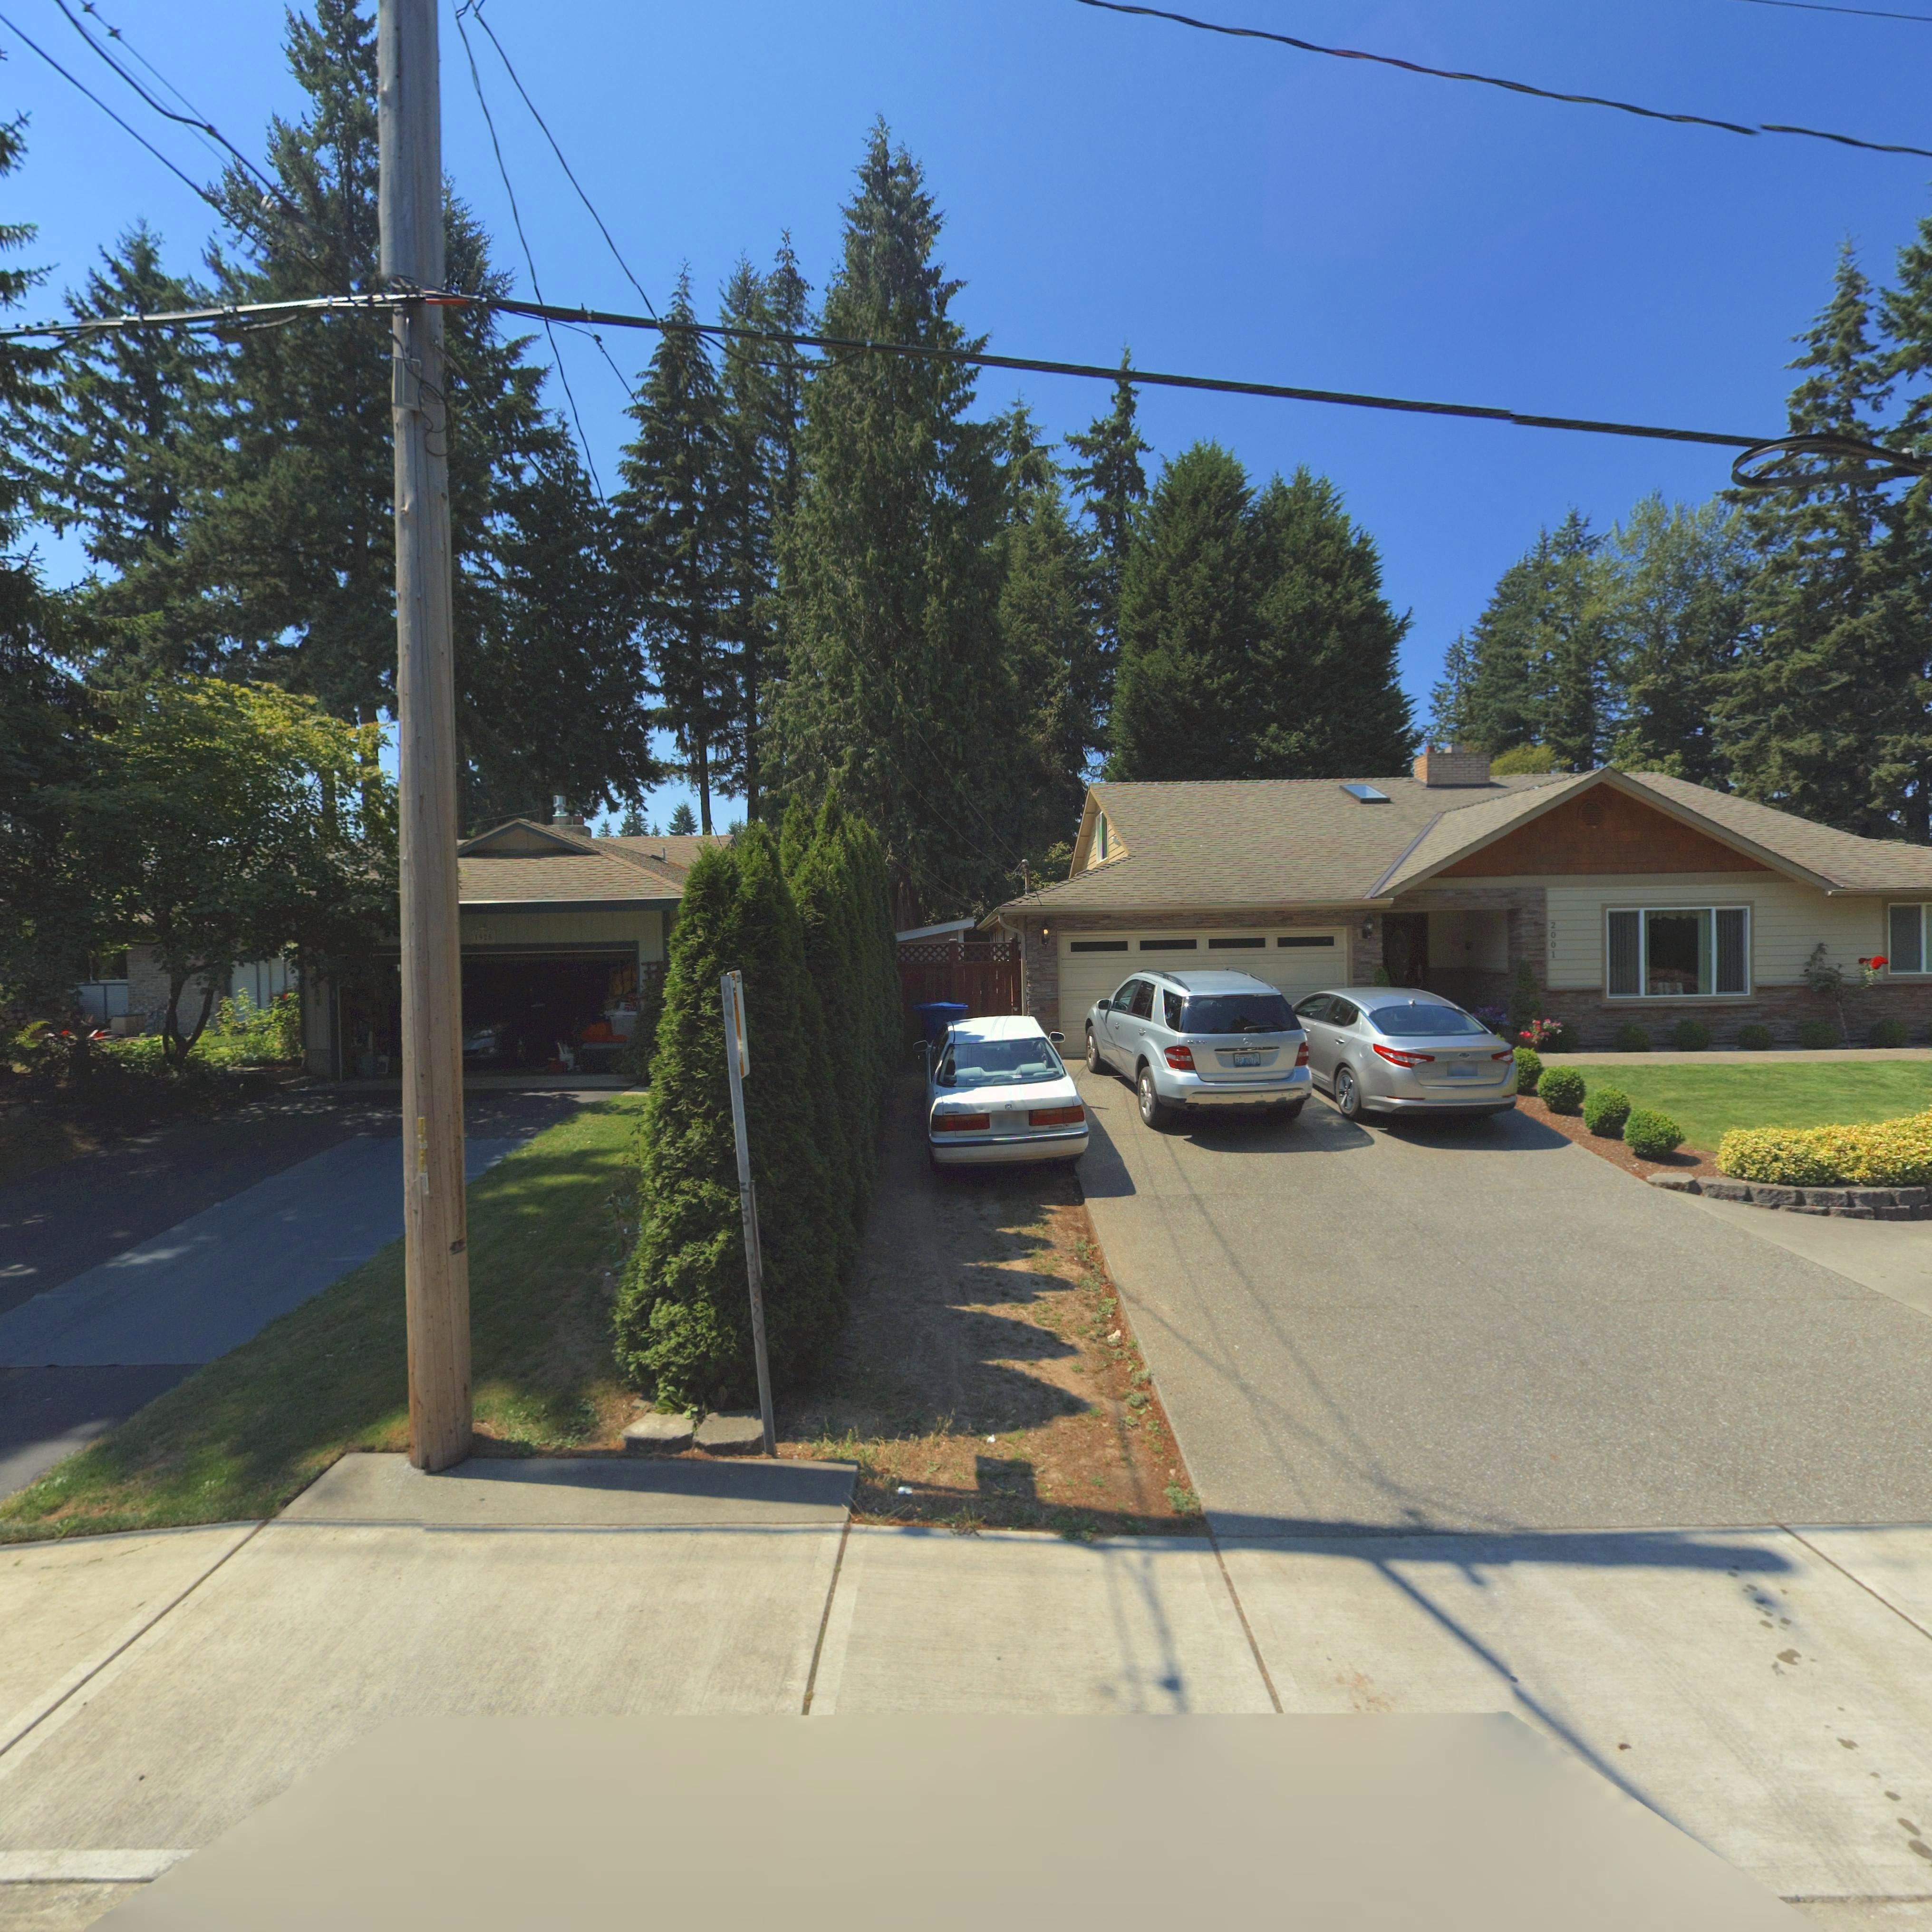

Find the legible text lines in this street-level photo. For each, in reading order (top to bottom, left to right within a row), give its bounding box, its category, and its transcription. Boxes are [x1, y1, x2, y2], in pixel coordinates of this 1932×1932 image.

[475, 934, 493, 940] StreetNumber: 1925
[1551, 922, 1556, 958] StreetNumber: 2001